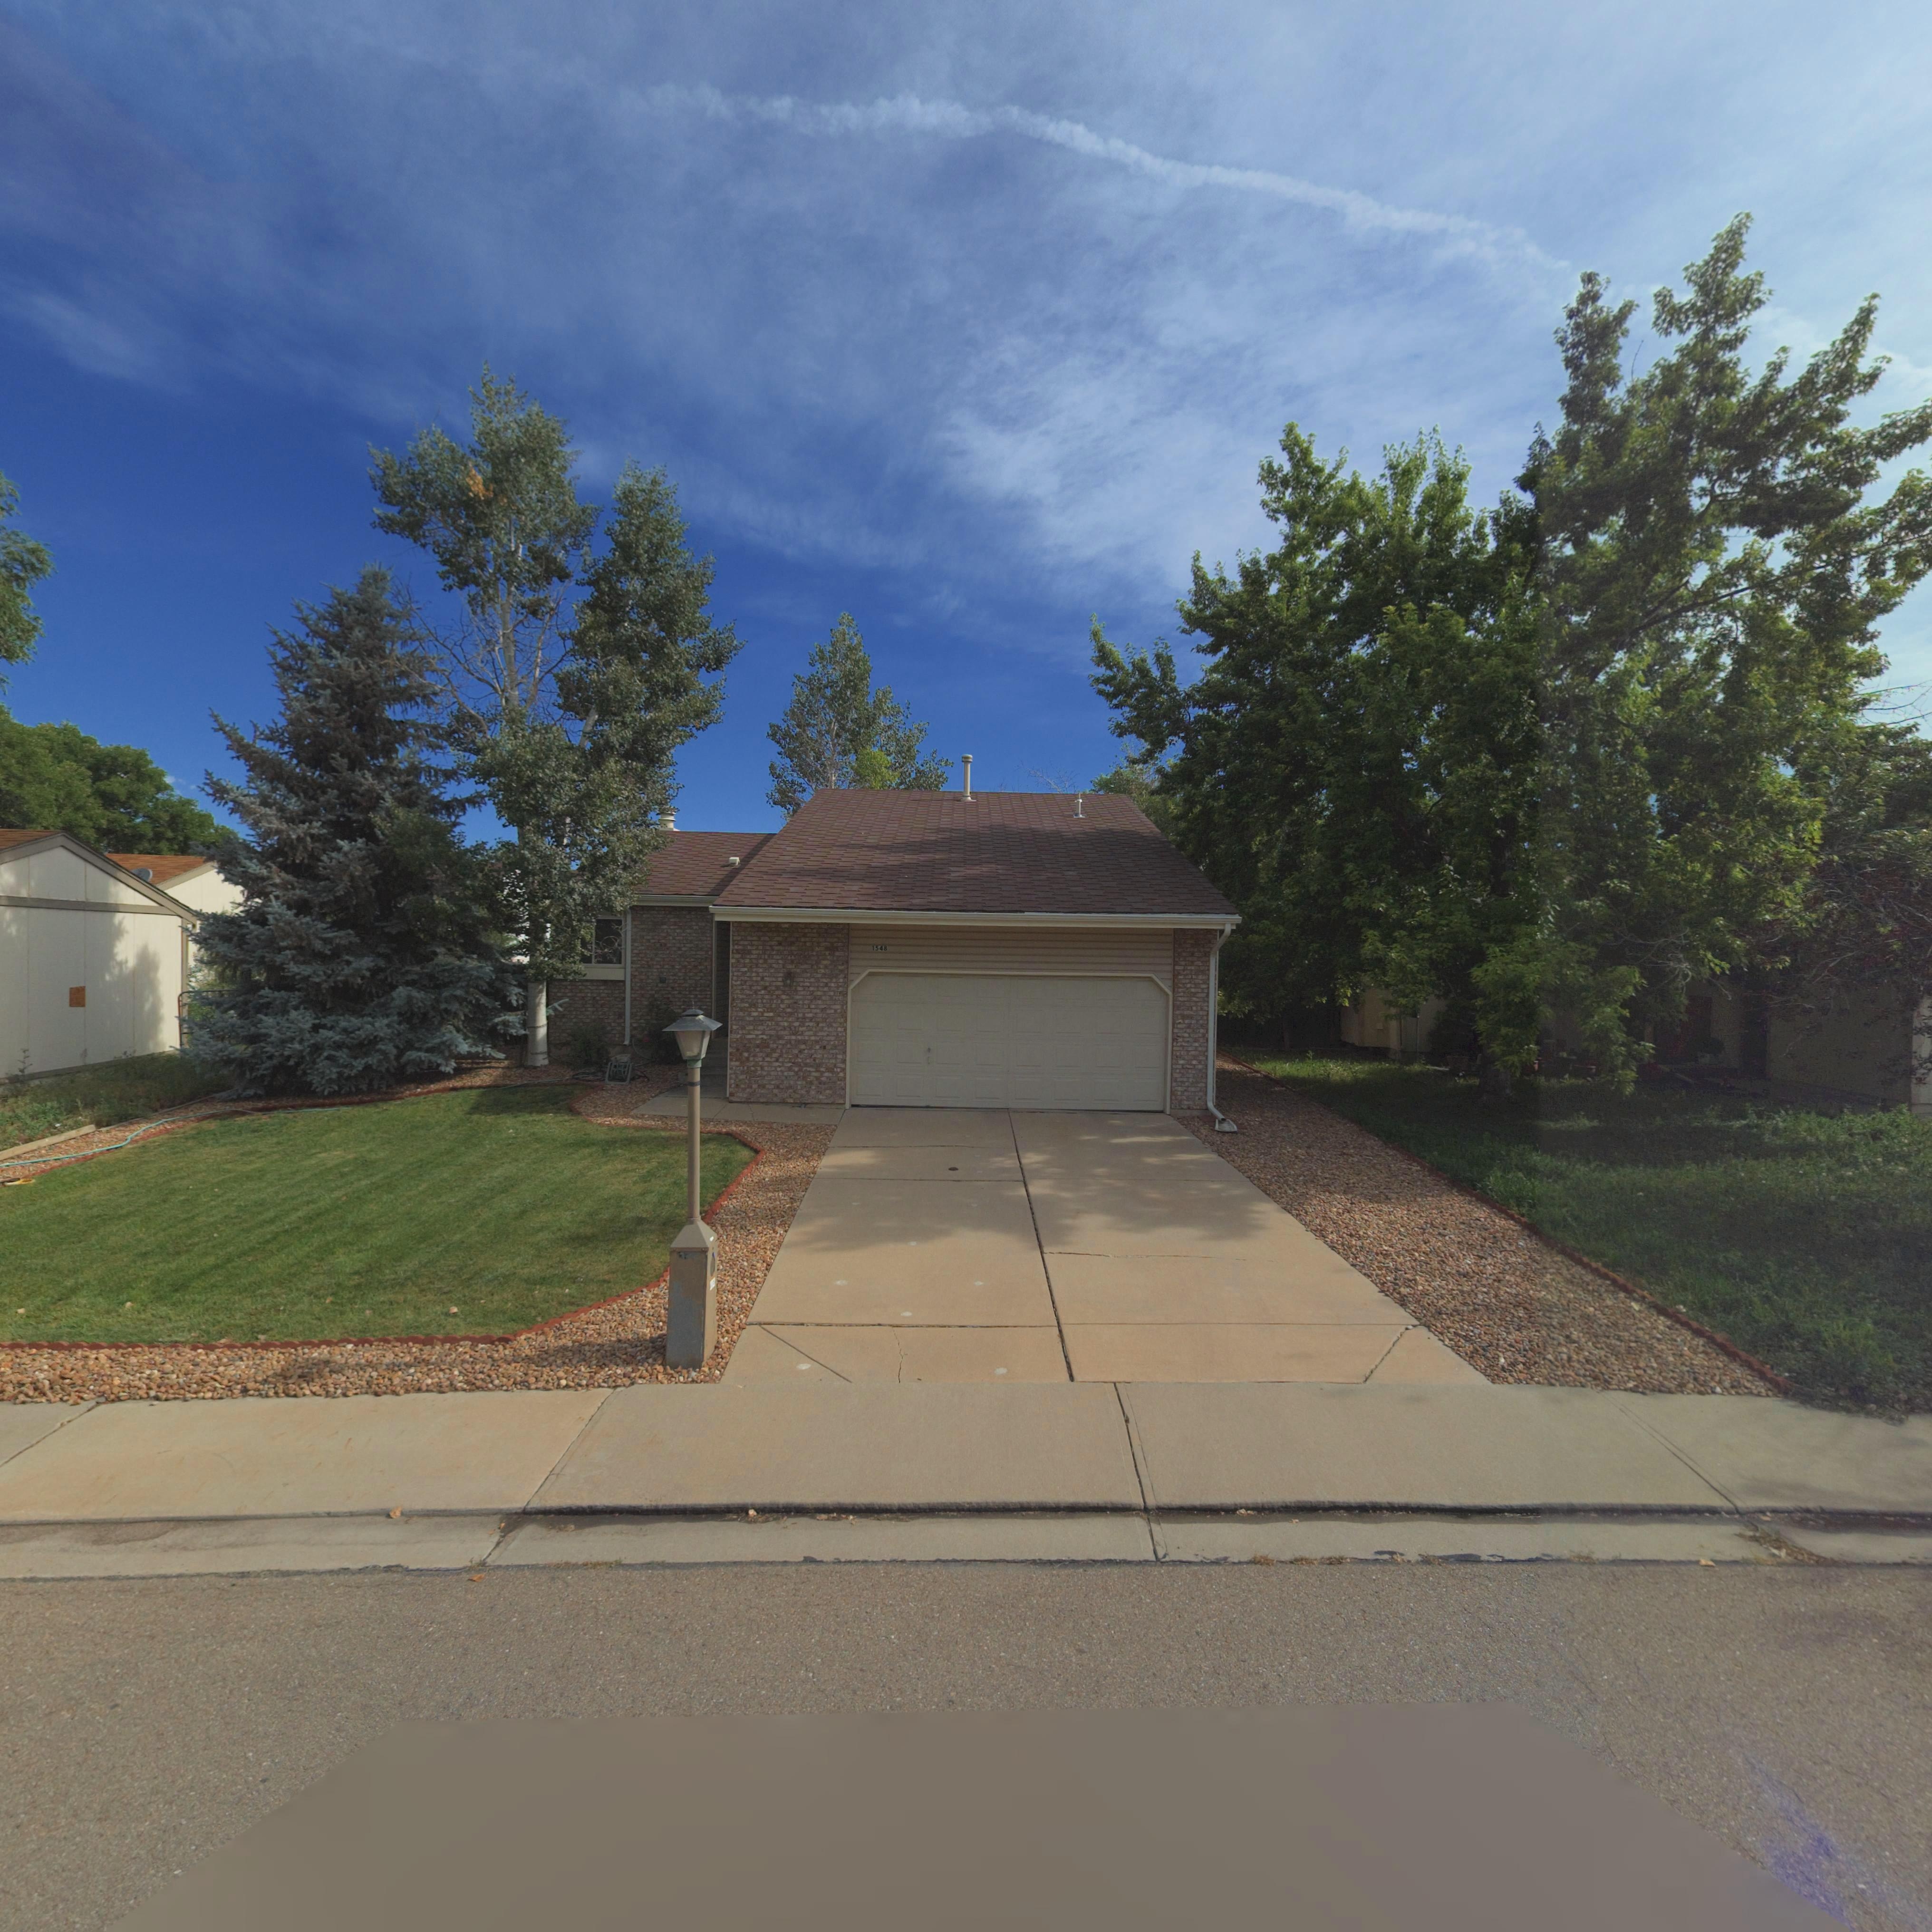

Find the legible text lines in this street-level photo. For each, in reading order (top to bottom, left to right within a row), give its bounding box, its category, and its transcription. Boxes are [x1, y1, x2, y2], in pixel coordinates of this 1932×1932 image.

[871, 945, 888, 951] StreetNumber: 1548